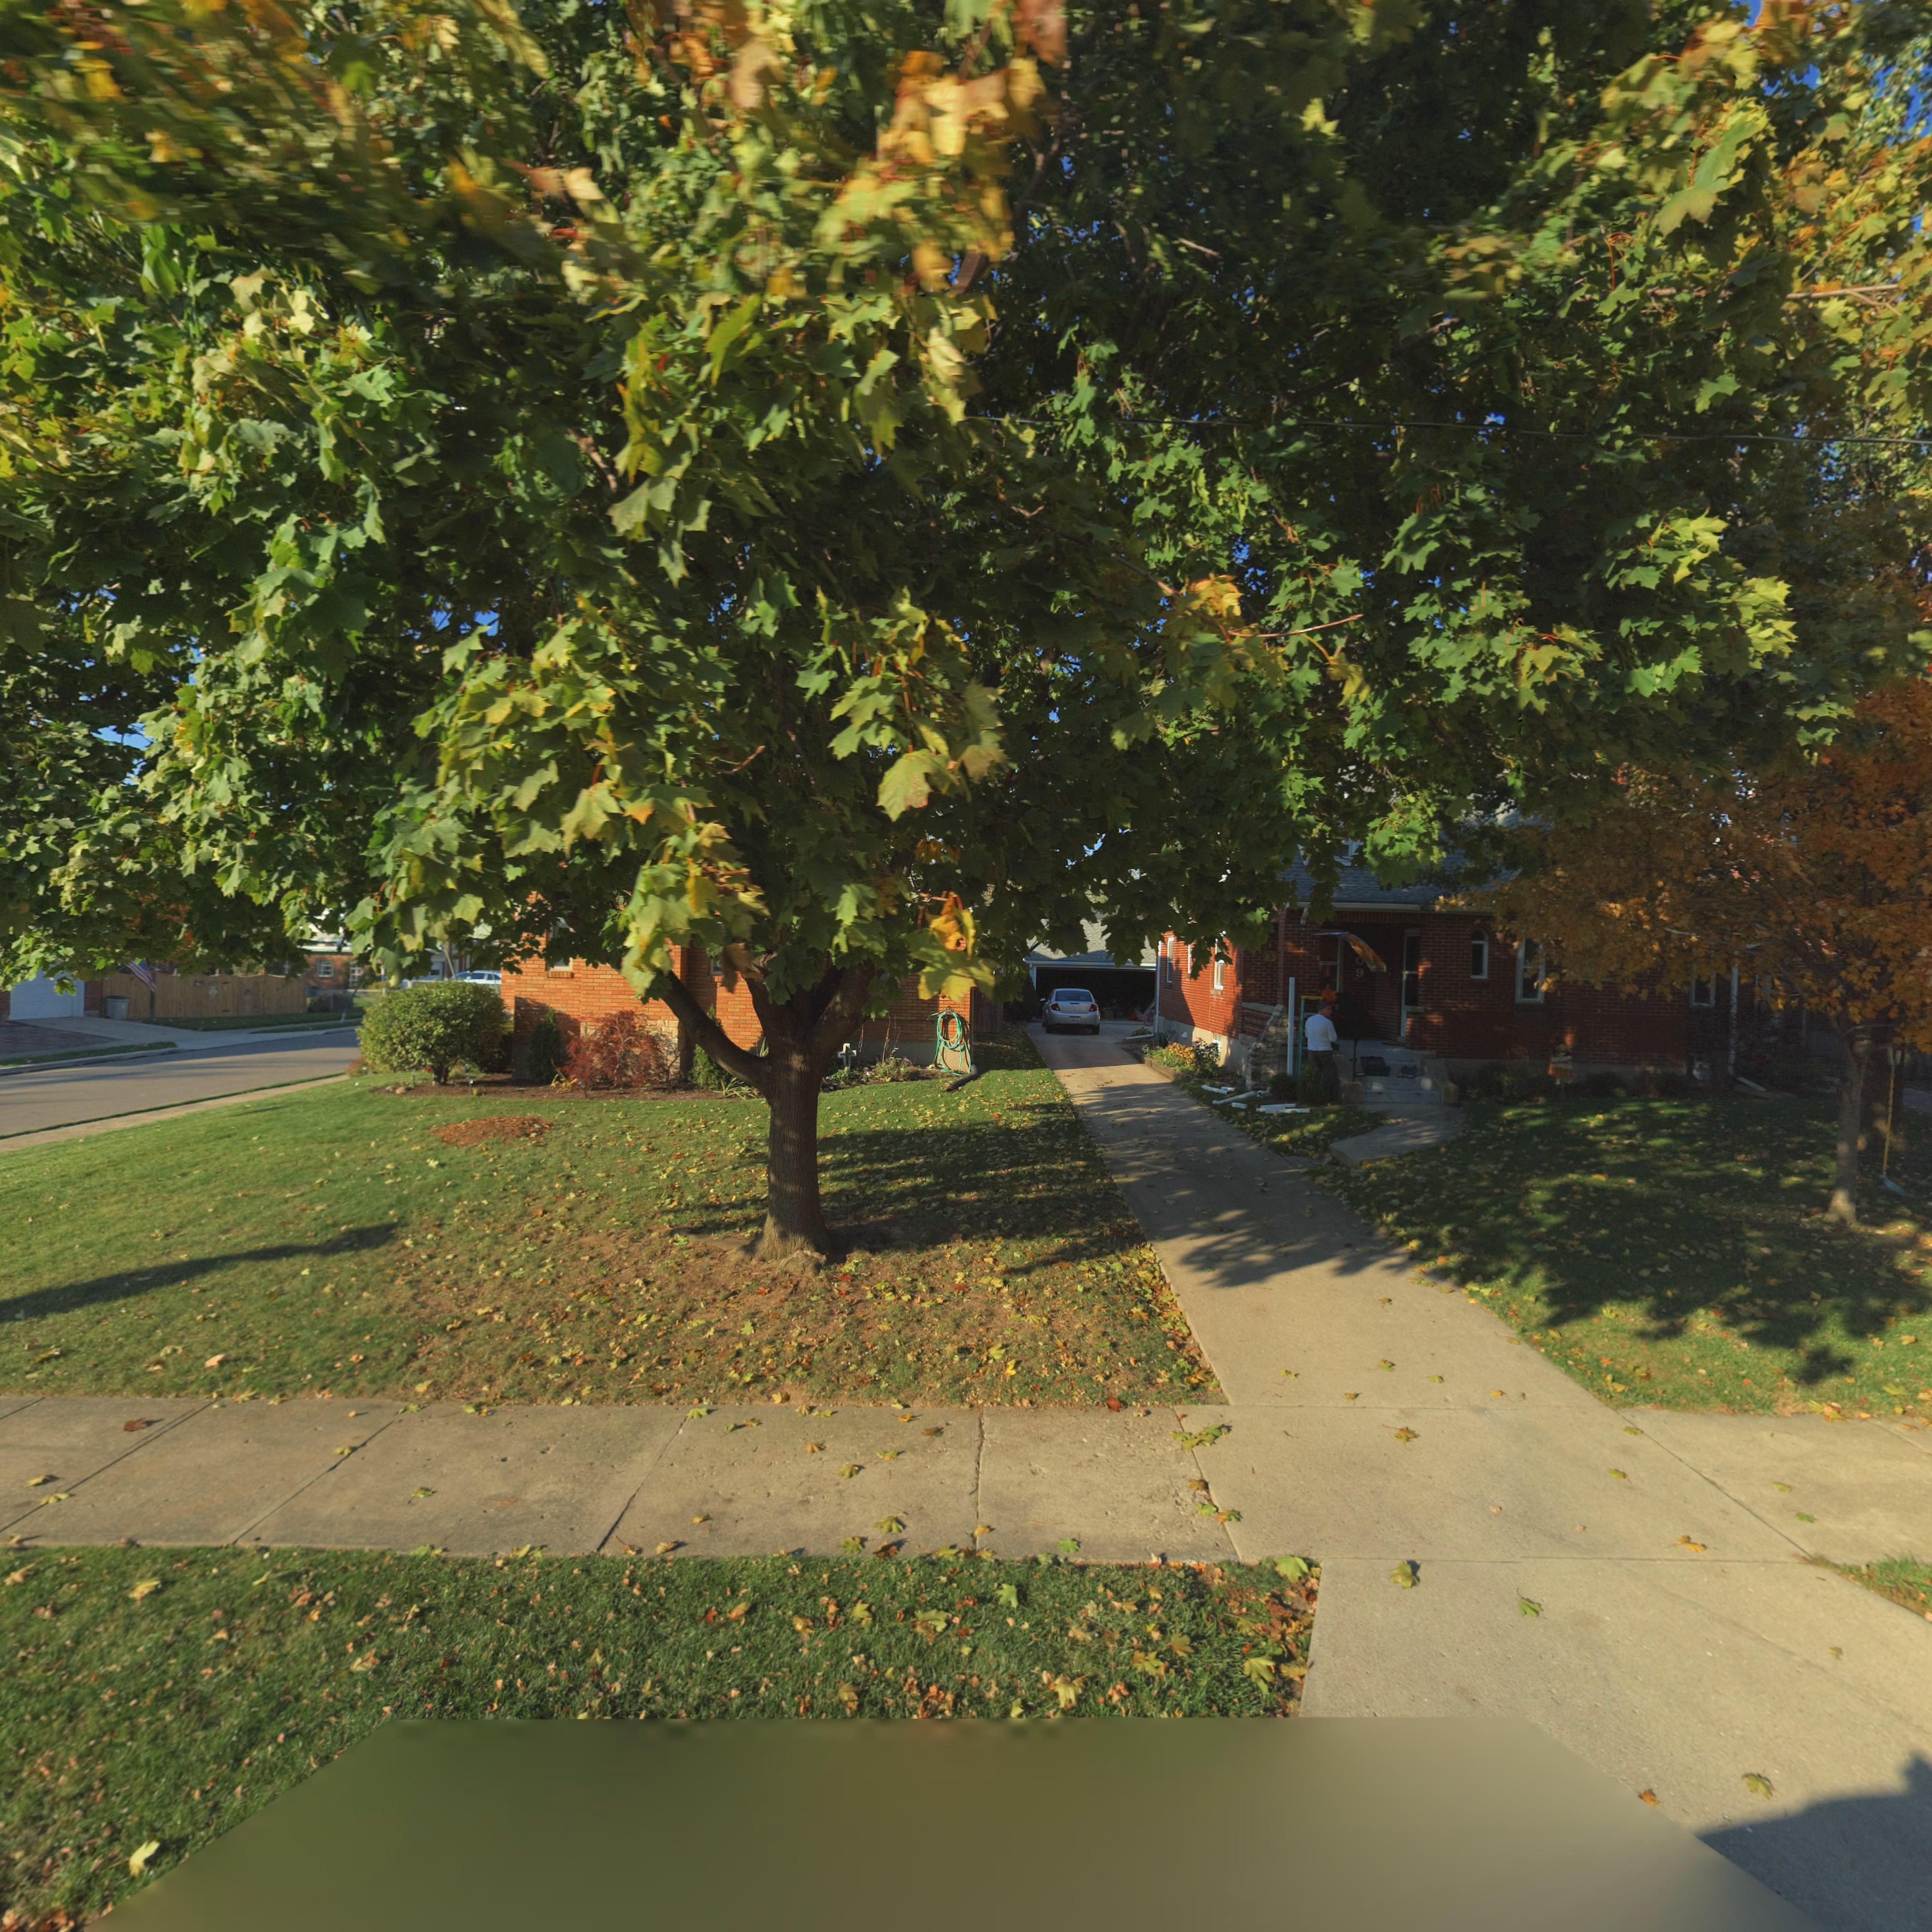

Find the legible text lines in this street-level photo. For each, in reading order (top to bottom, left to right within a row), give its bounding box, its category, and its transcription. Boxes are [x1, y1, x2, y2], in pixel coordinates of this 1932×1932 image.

[1355, 955, 1365, 978] StreetNumber: 09